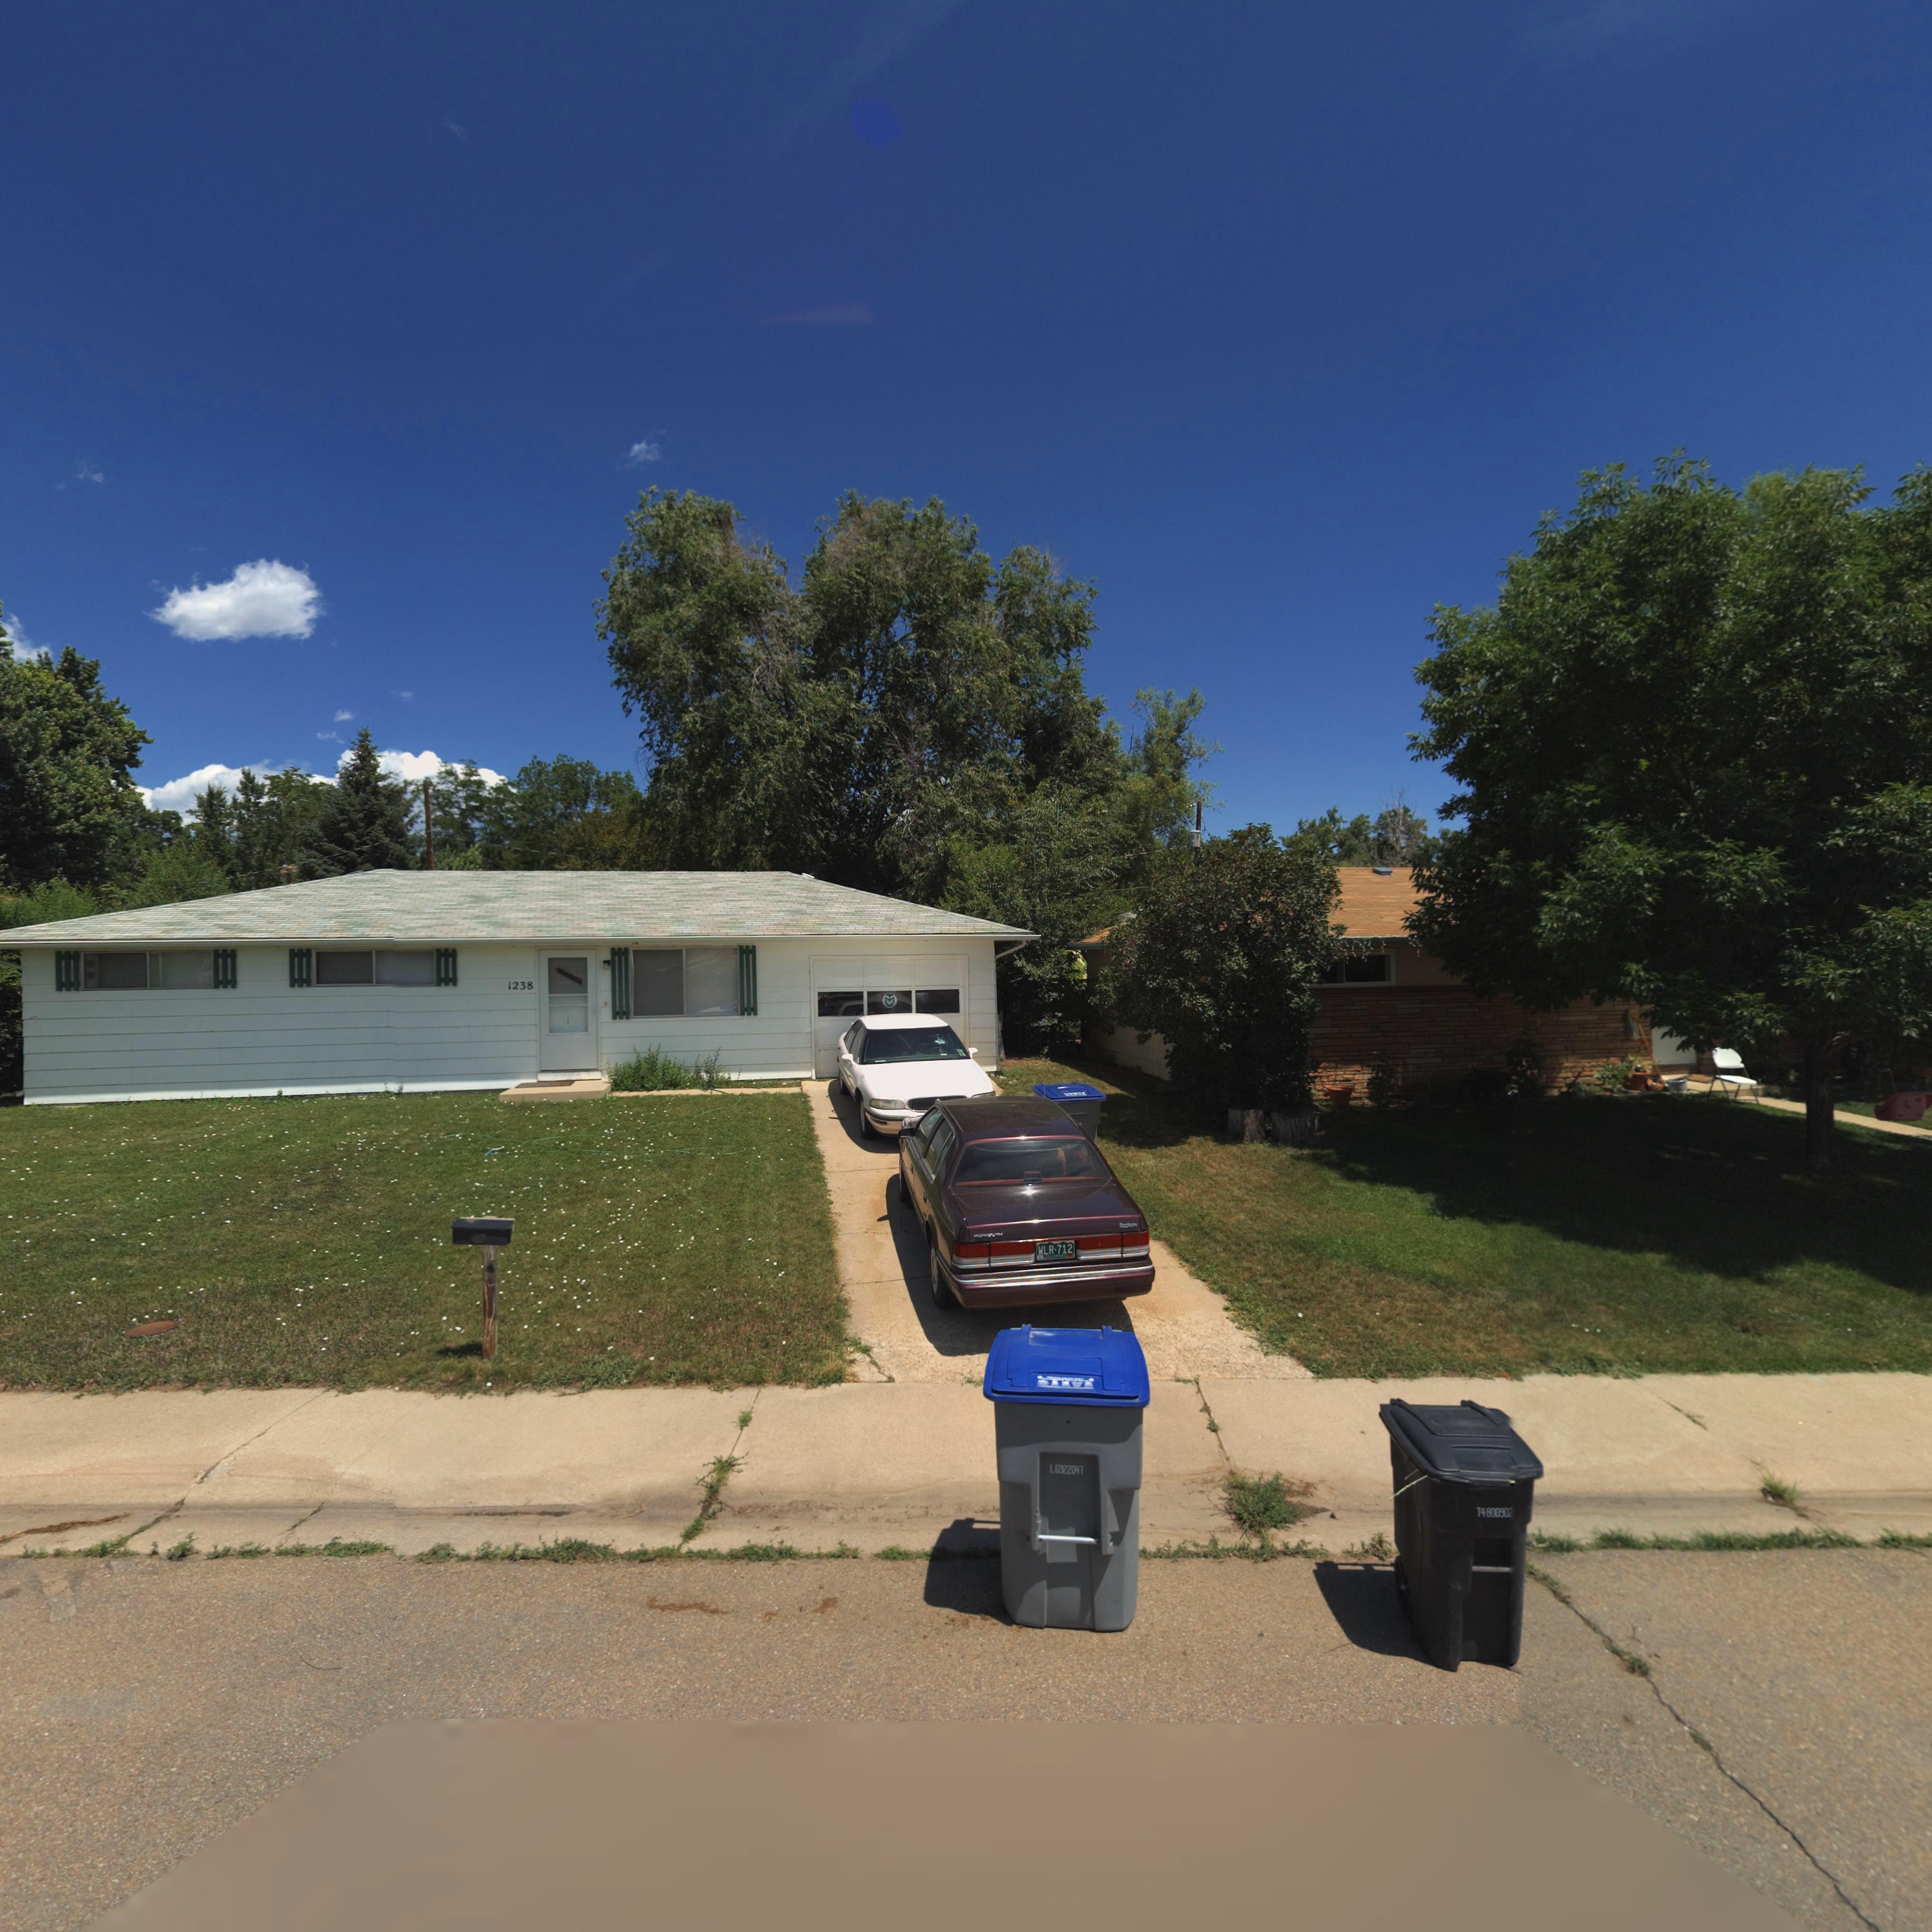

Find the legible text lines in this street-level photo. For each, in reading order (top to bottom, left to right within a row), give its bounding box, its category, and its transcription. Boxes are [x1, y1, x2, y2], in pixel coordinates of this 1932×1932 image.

[508, 981, 533, 990] StreetNumber: 1238